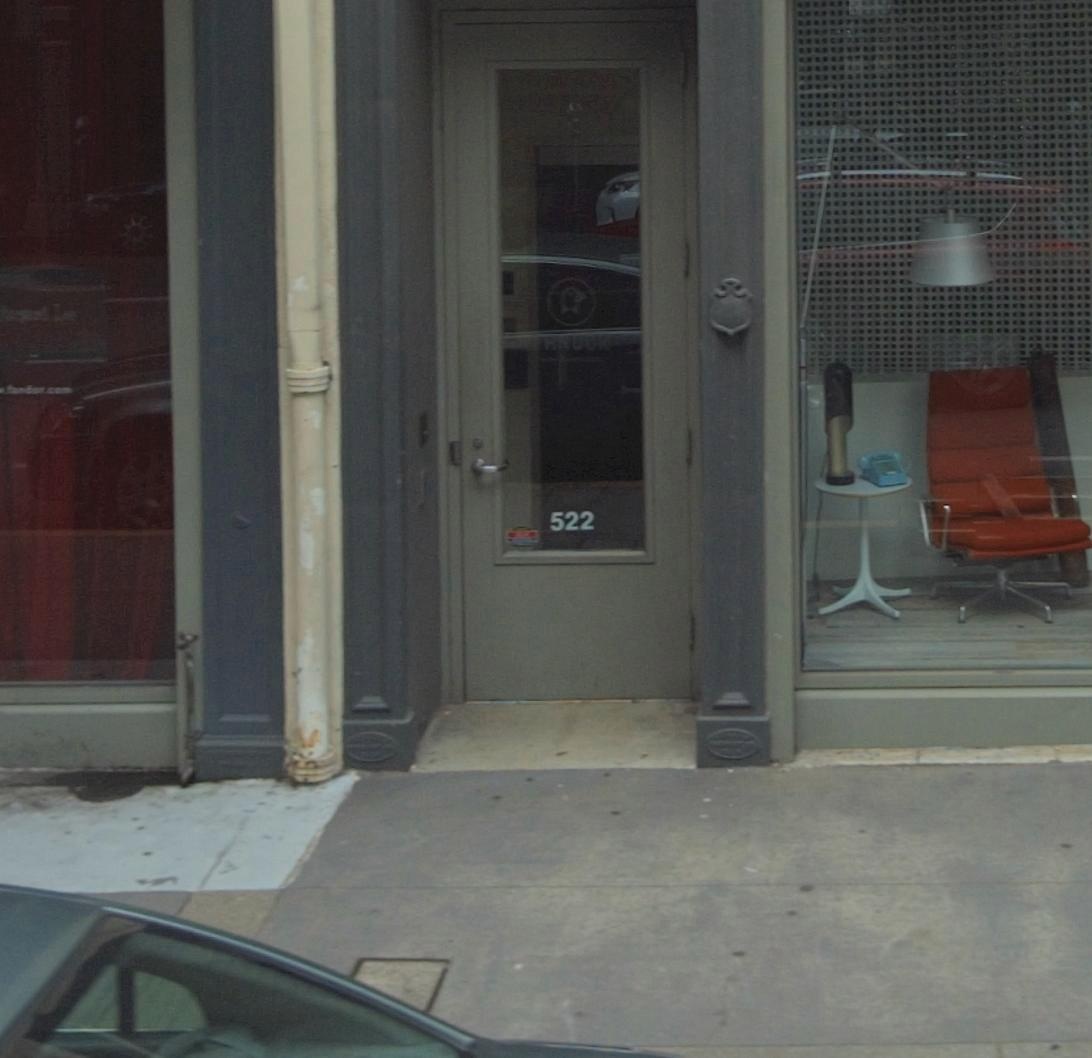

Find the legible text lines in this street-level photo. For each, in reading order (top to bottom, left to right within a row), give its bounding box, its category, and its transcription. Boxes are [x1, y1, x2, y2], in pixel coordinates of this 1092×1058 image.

[547, 506, 599, 534] StreetNumber: 522